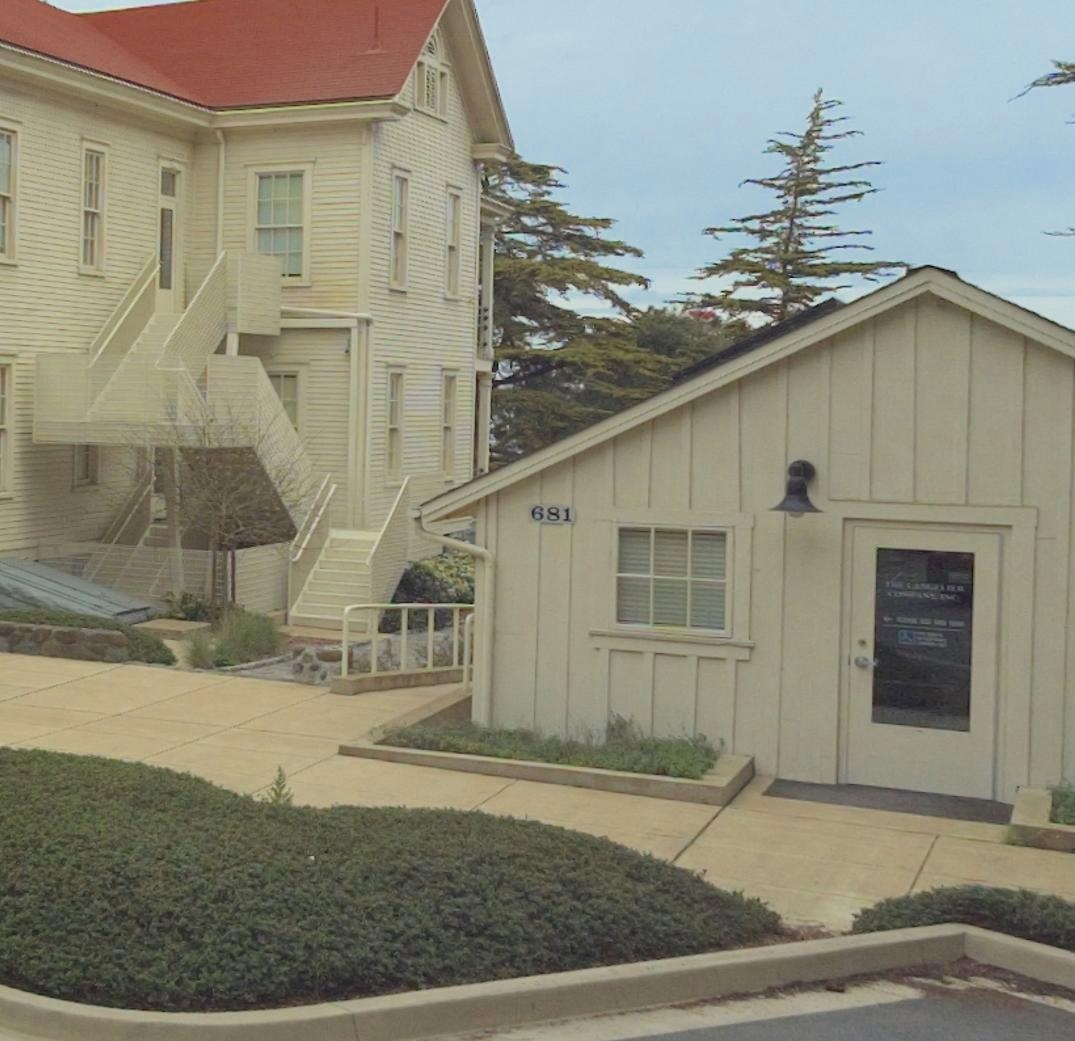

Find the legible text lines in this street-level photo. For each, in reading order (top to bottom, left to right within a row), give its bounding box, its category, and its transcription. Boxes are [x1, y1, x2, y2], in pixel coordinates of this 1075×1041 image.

[530, 505, 572, 522] StreetNumber: 681